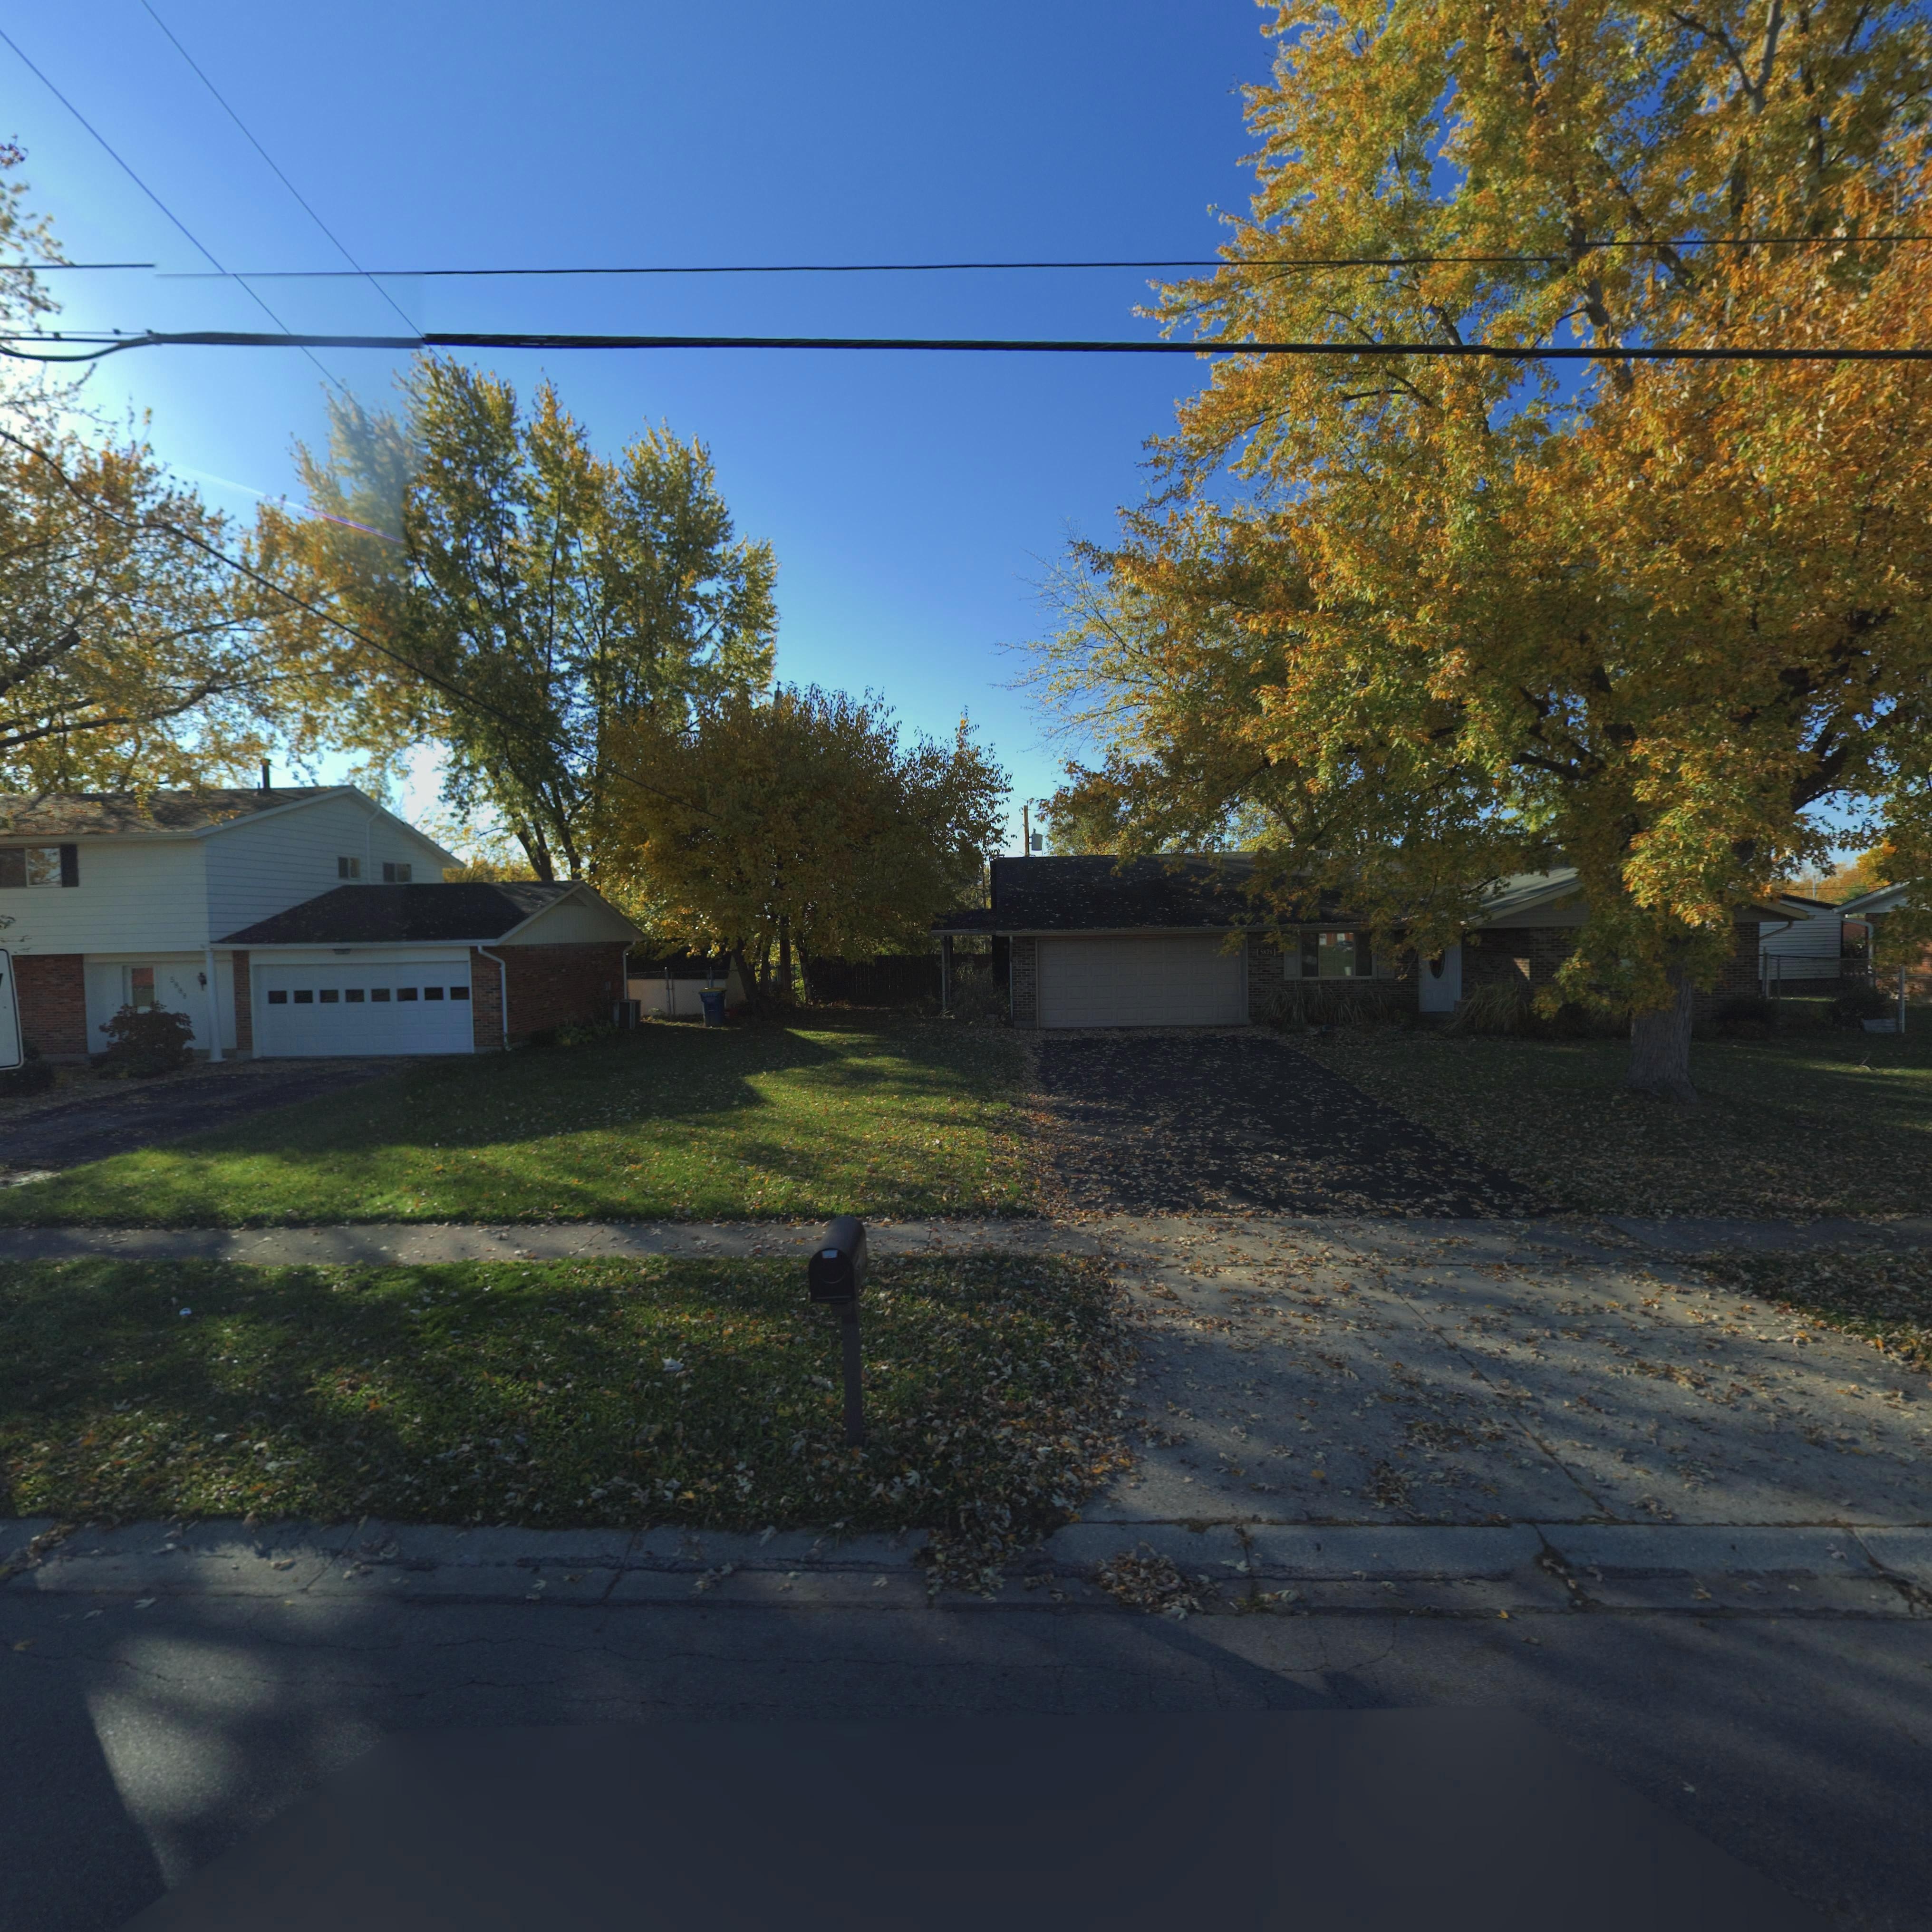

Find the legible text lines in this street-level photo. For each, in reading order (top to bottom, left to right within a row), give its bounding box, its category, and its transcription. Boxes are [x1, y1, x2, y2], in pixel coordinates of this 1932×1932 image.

[1259, 949, 1273, 955] StreetNumber: 5878
[169, 976, 188, 1000] StreetNumber: 5888